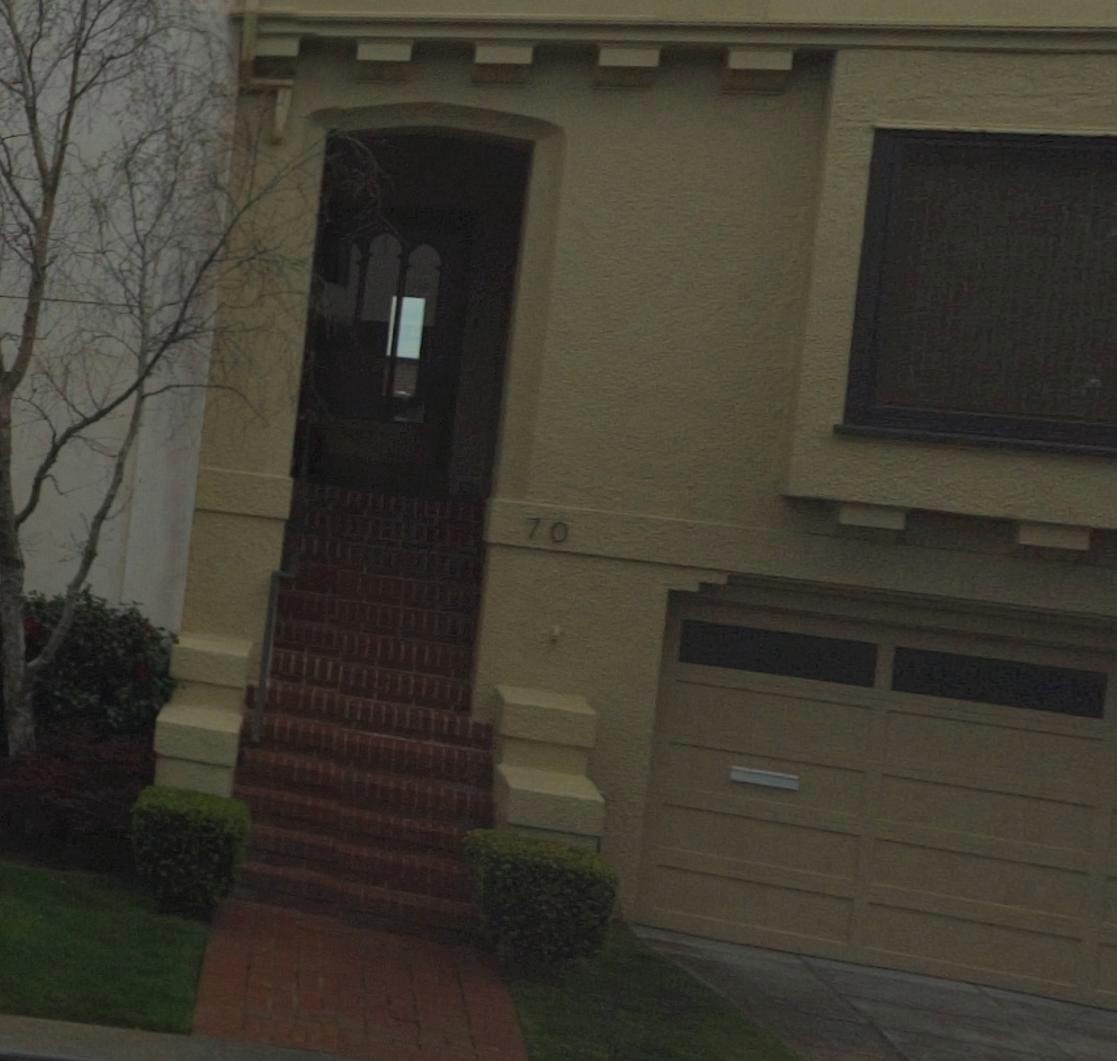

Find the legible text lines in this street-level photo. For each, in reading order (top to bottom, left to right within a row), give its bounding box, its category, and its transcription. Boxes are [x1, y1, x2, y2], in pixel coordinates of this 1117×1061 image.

[525, 516, 570, 544] StreetNumber: 70